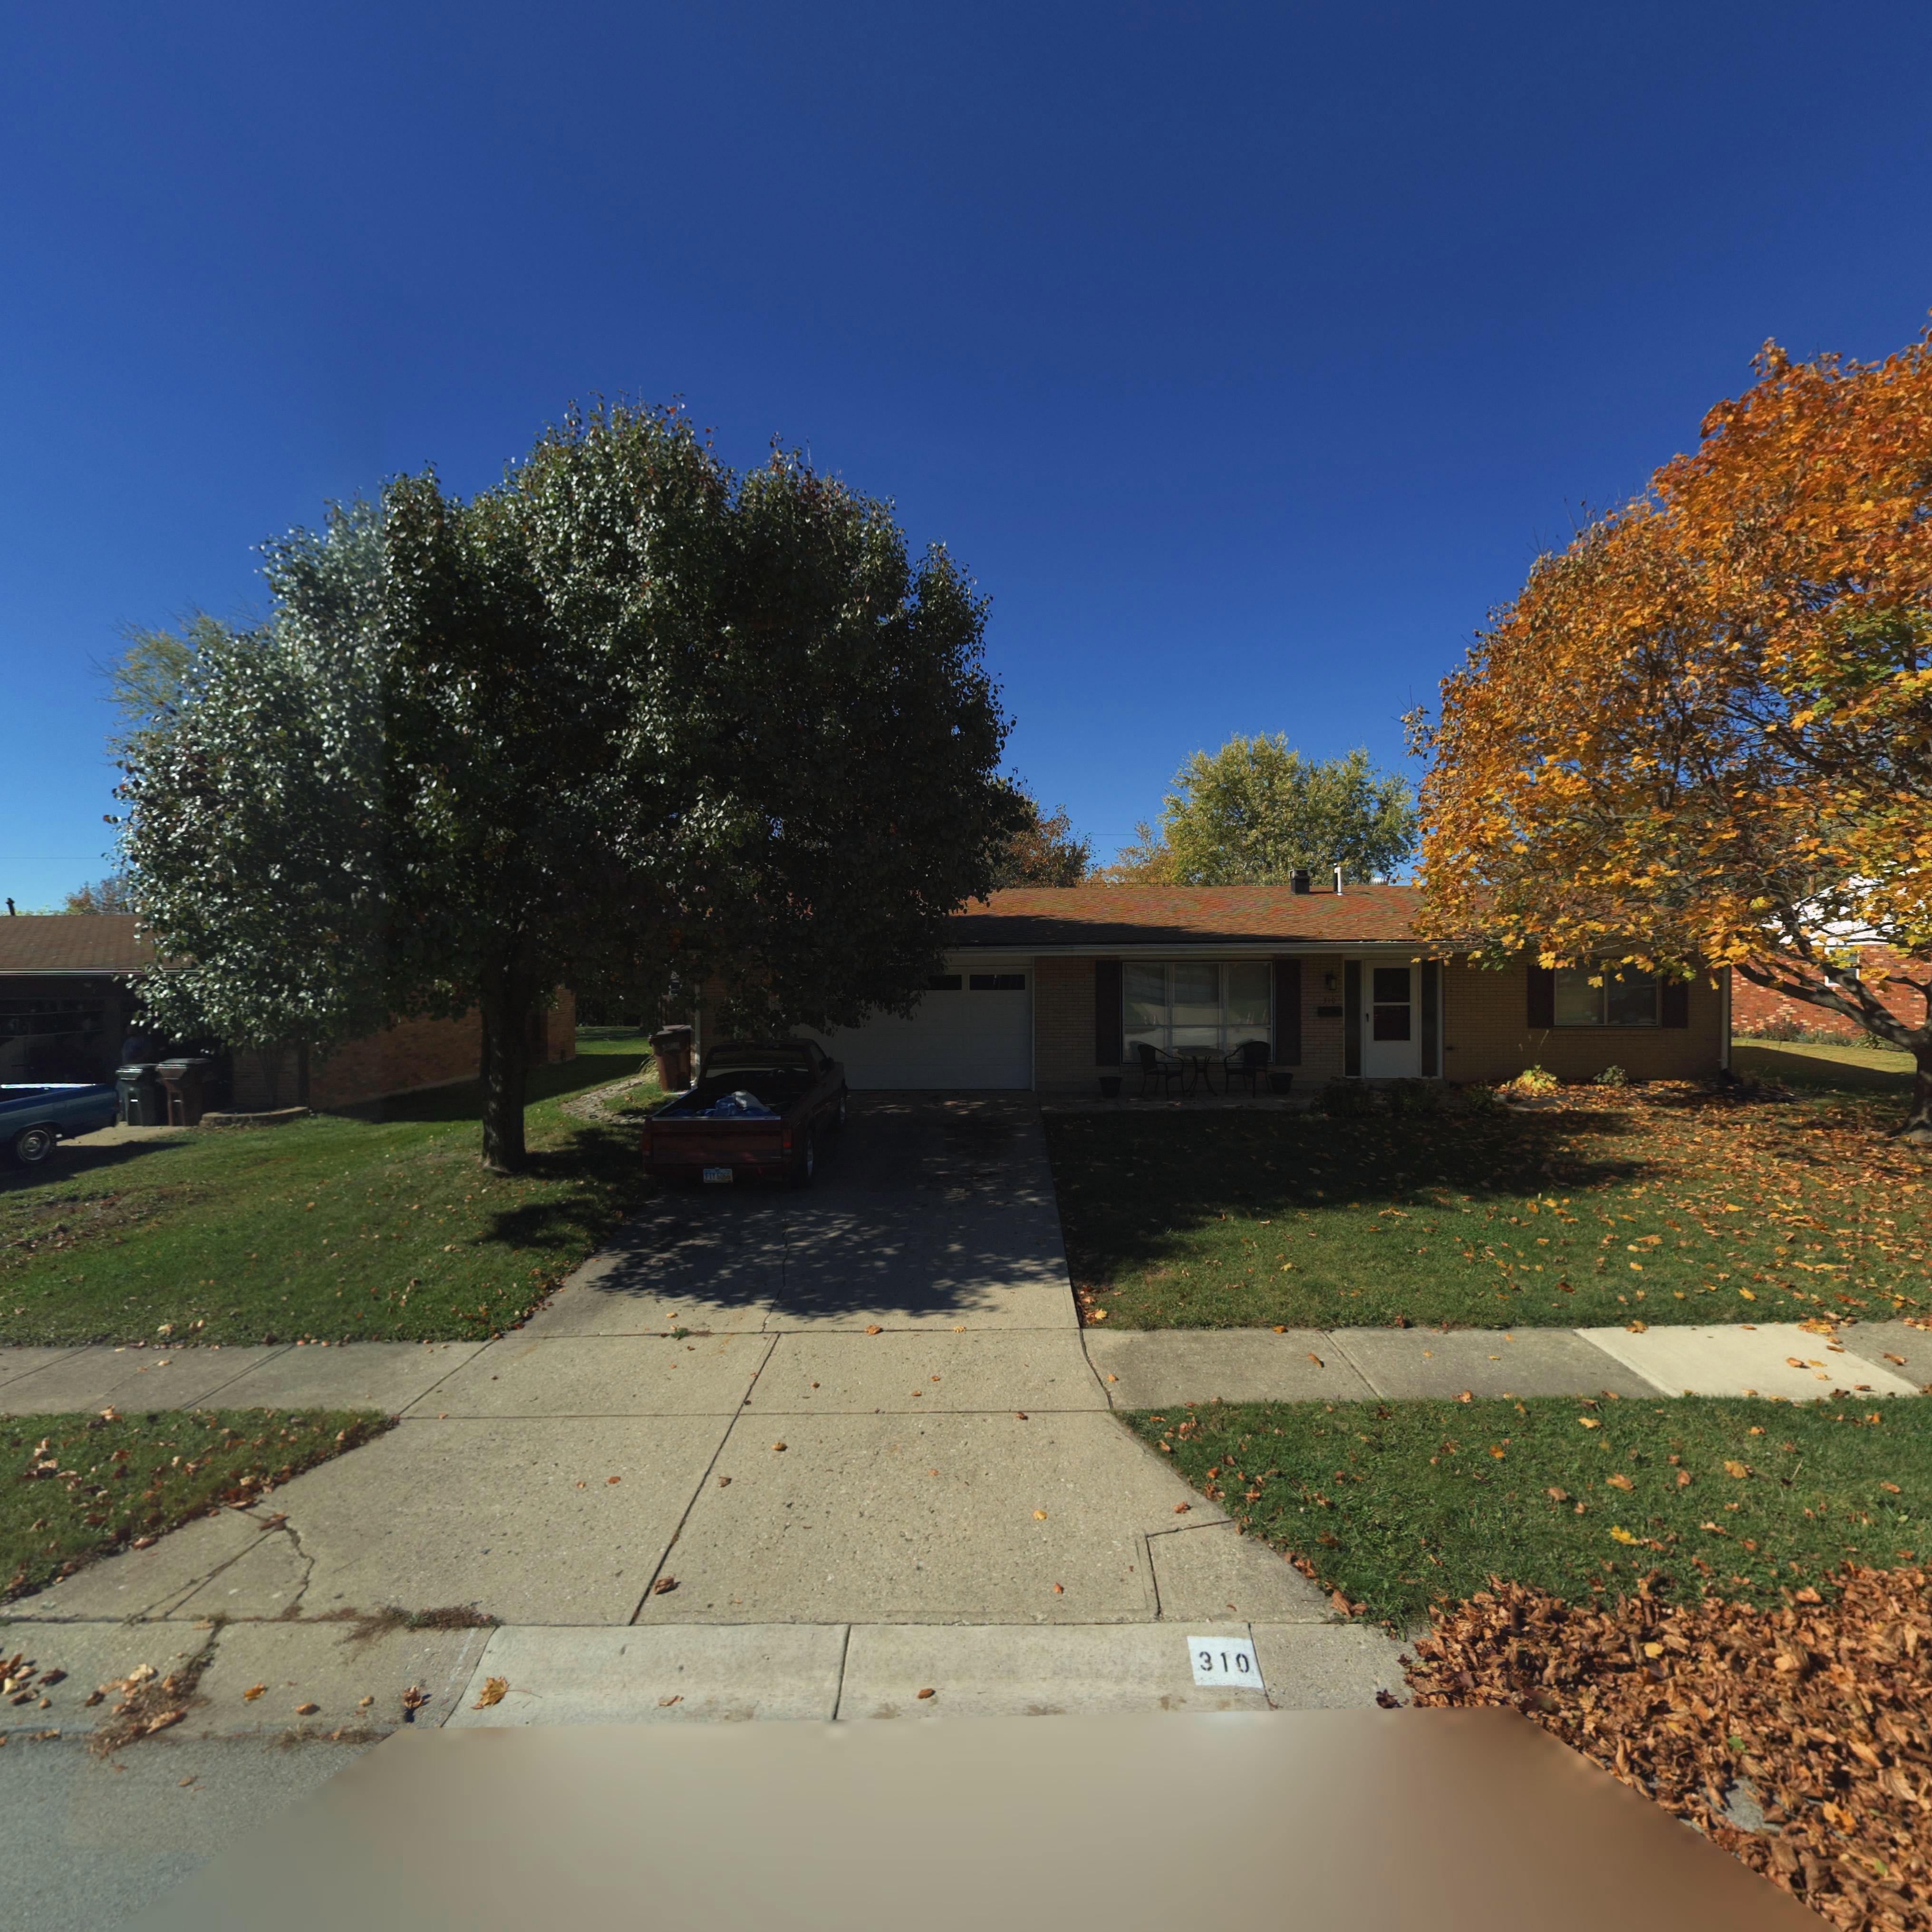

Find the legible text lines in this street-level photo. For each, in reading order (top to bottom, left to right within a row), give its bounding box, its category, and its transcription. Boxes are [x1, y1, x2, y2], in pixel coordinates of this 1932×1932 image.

[1322, 997, 1336, 1005] StreetNumber: 310
[1198, 1651, 1250, 1673] StreetNumber: 310